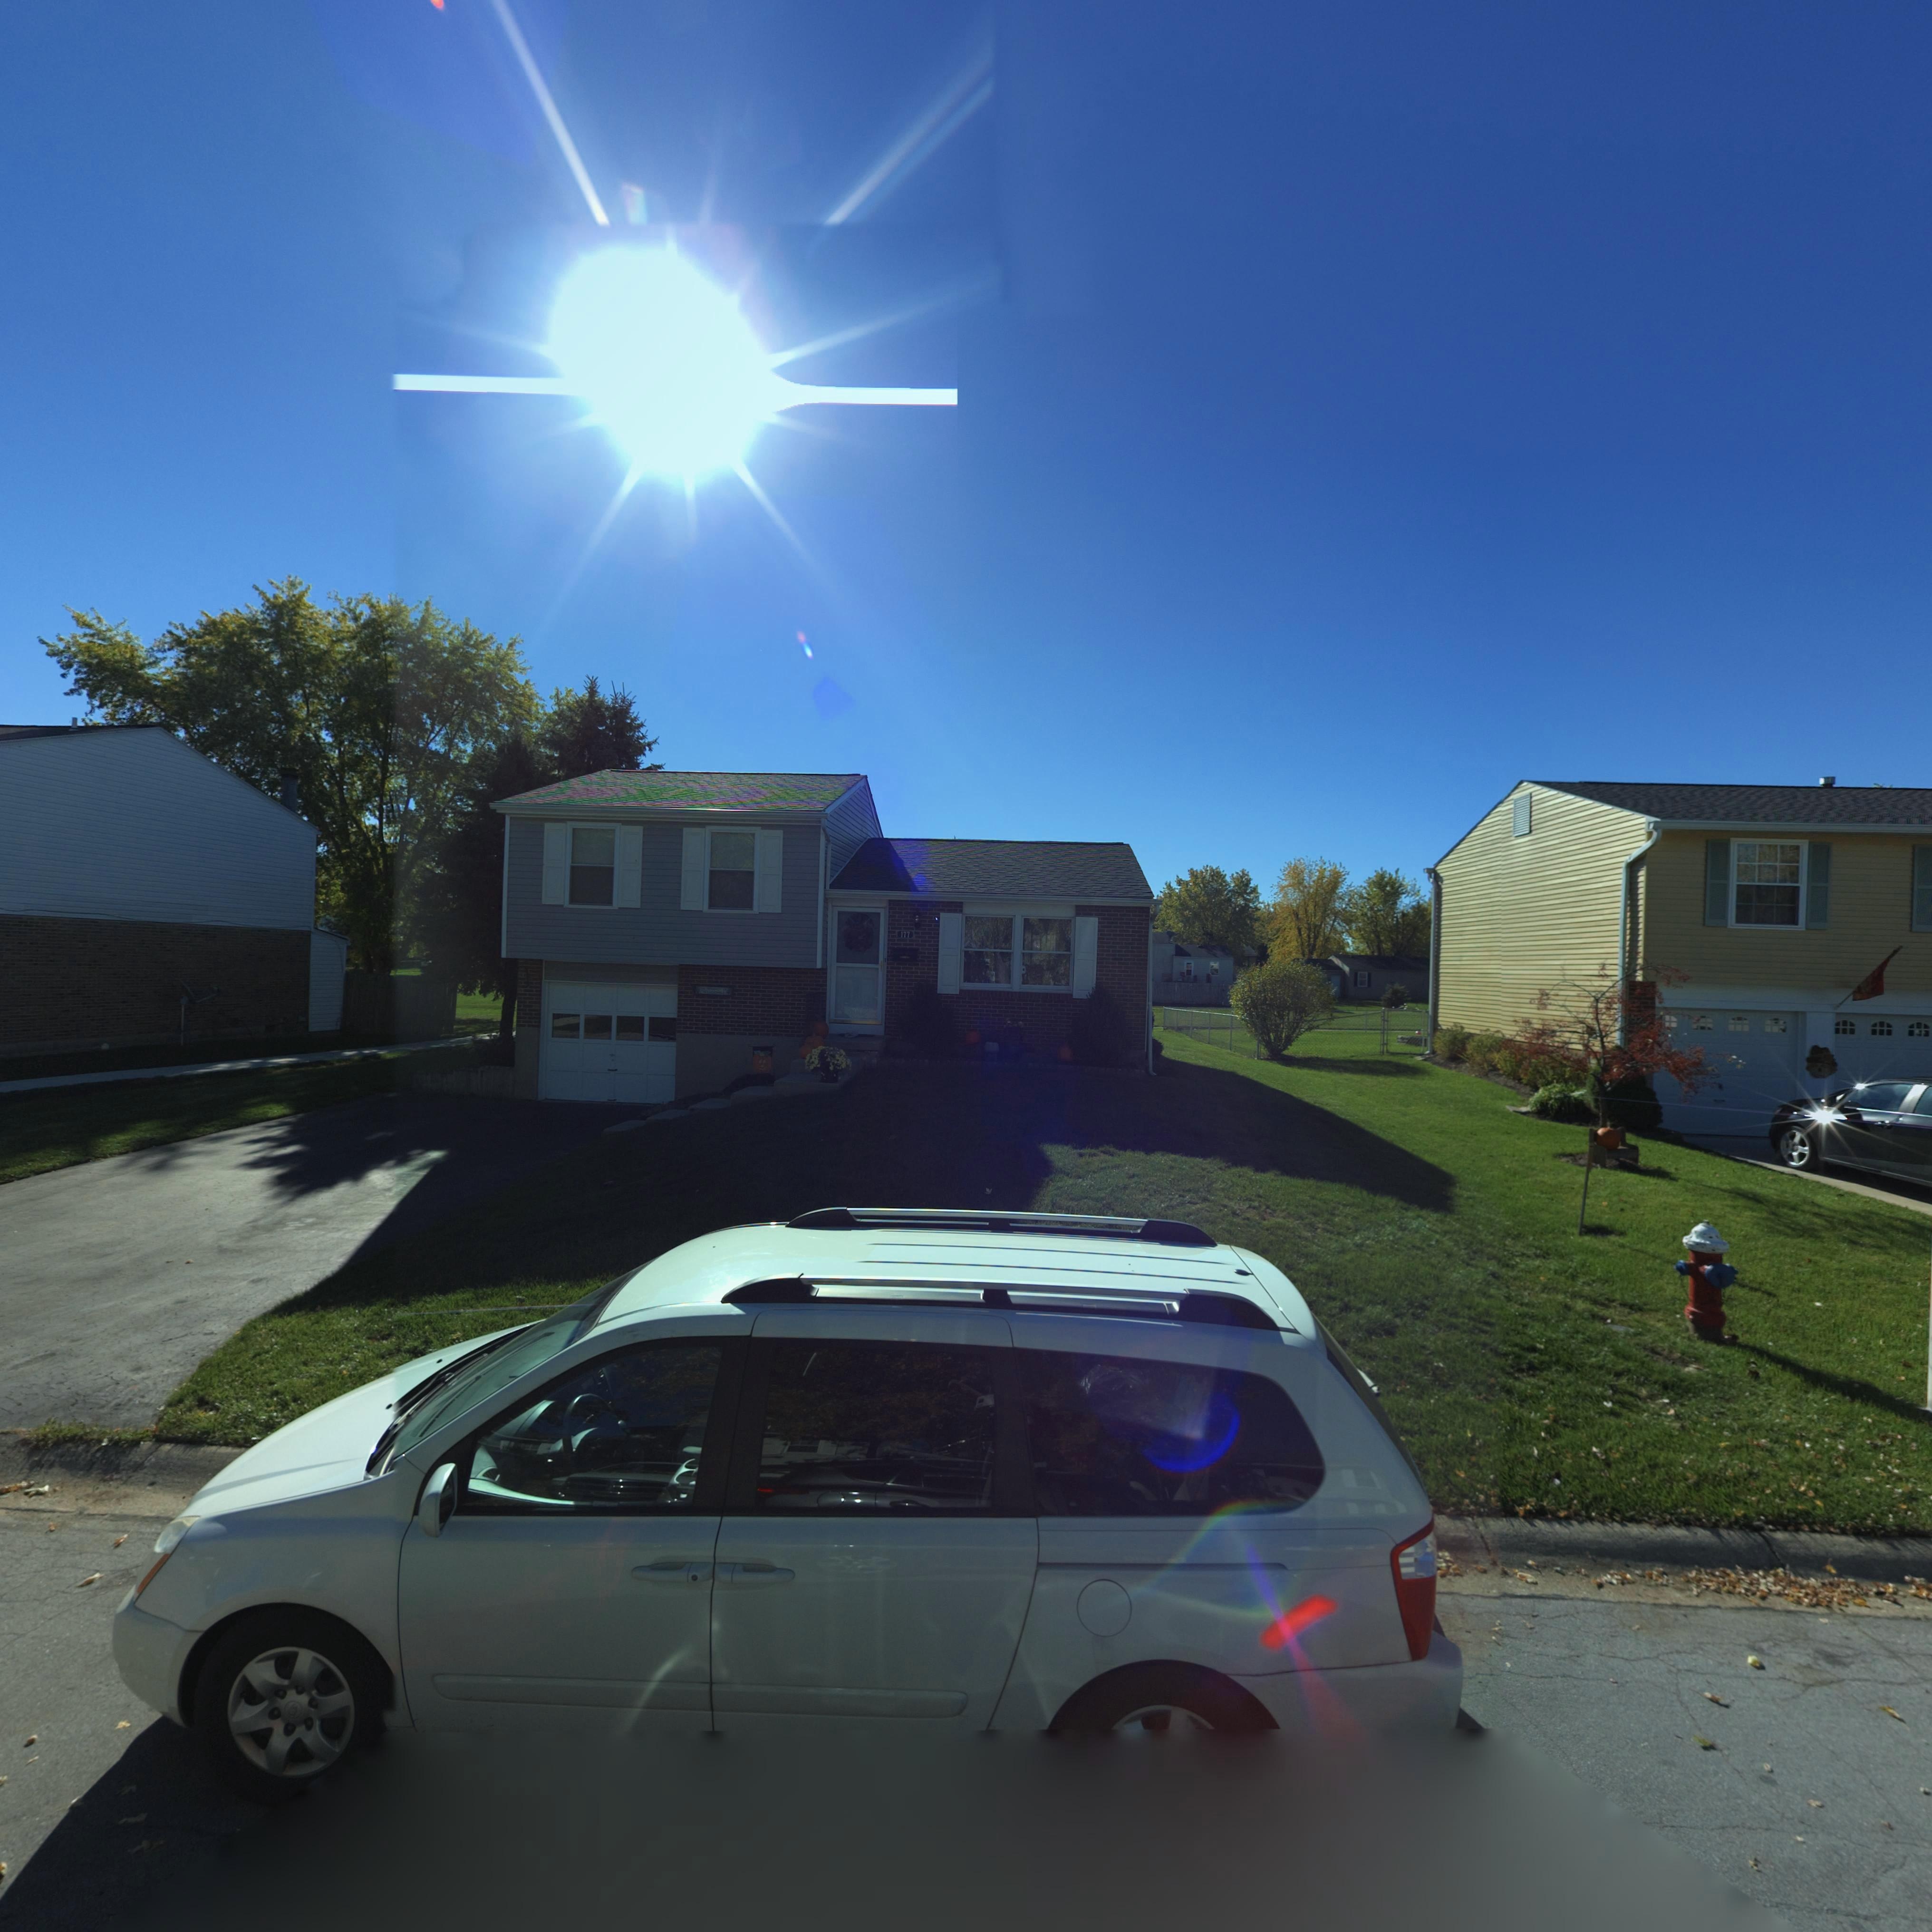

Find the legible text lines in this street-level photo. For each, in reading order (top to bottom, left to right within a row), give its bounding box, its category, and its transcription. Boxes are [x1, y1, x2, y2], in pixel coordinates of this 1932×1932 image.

[900, 931, 911, 938] StreetNumber: 177